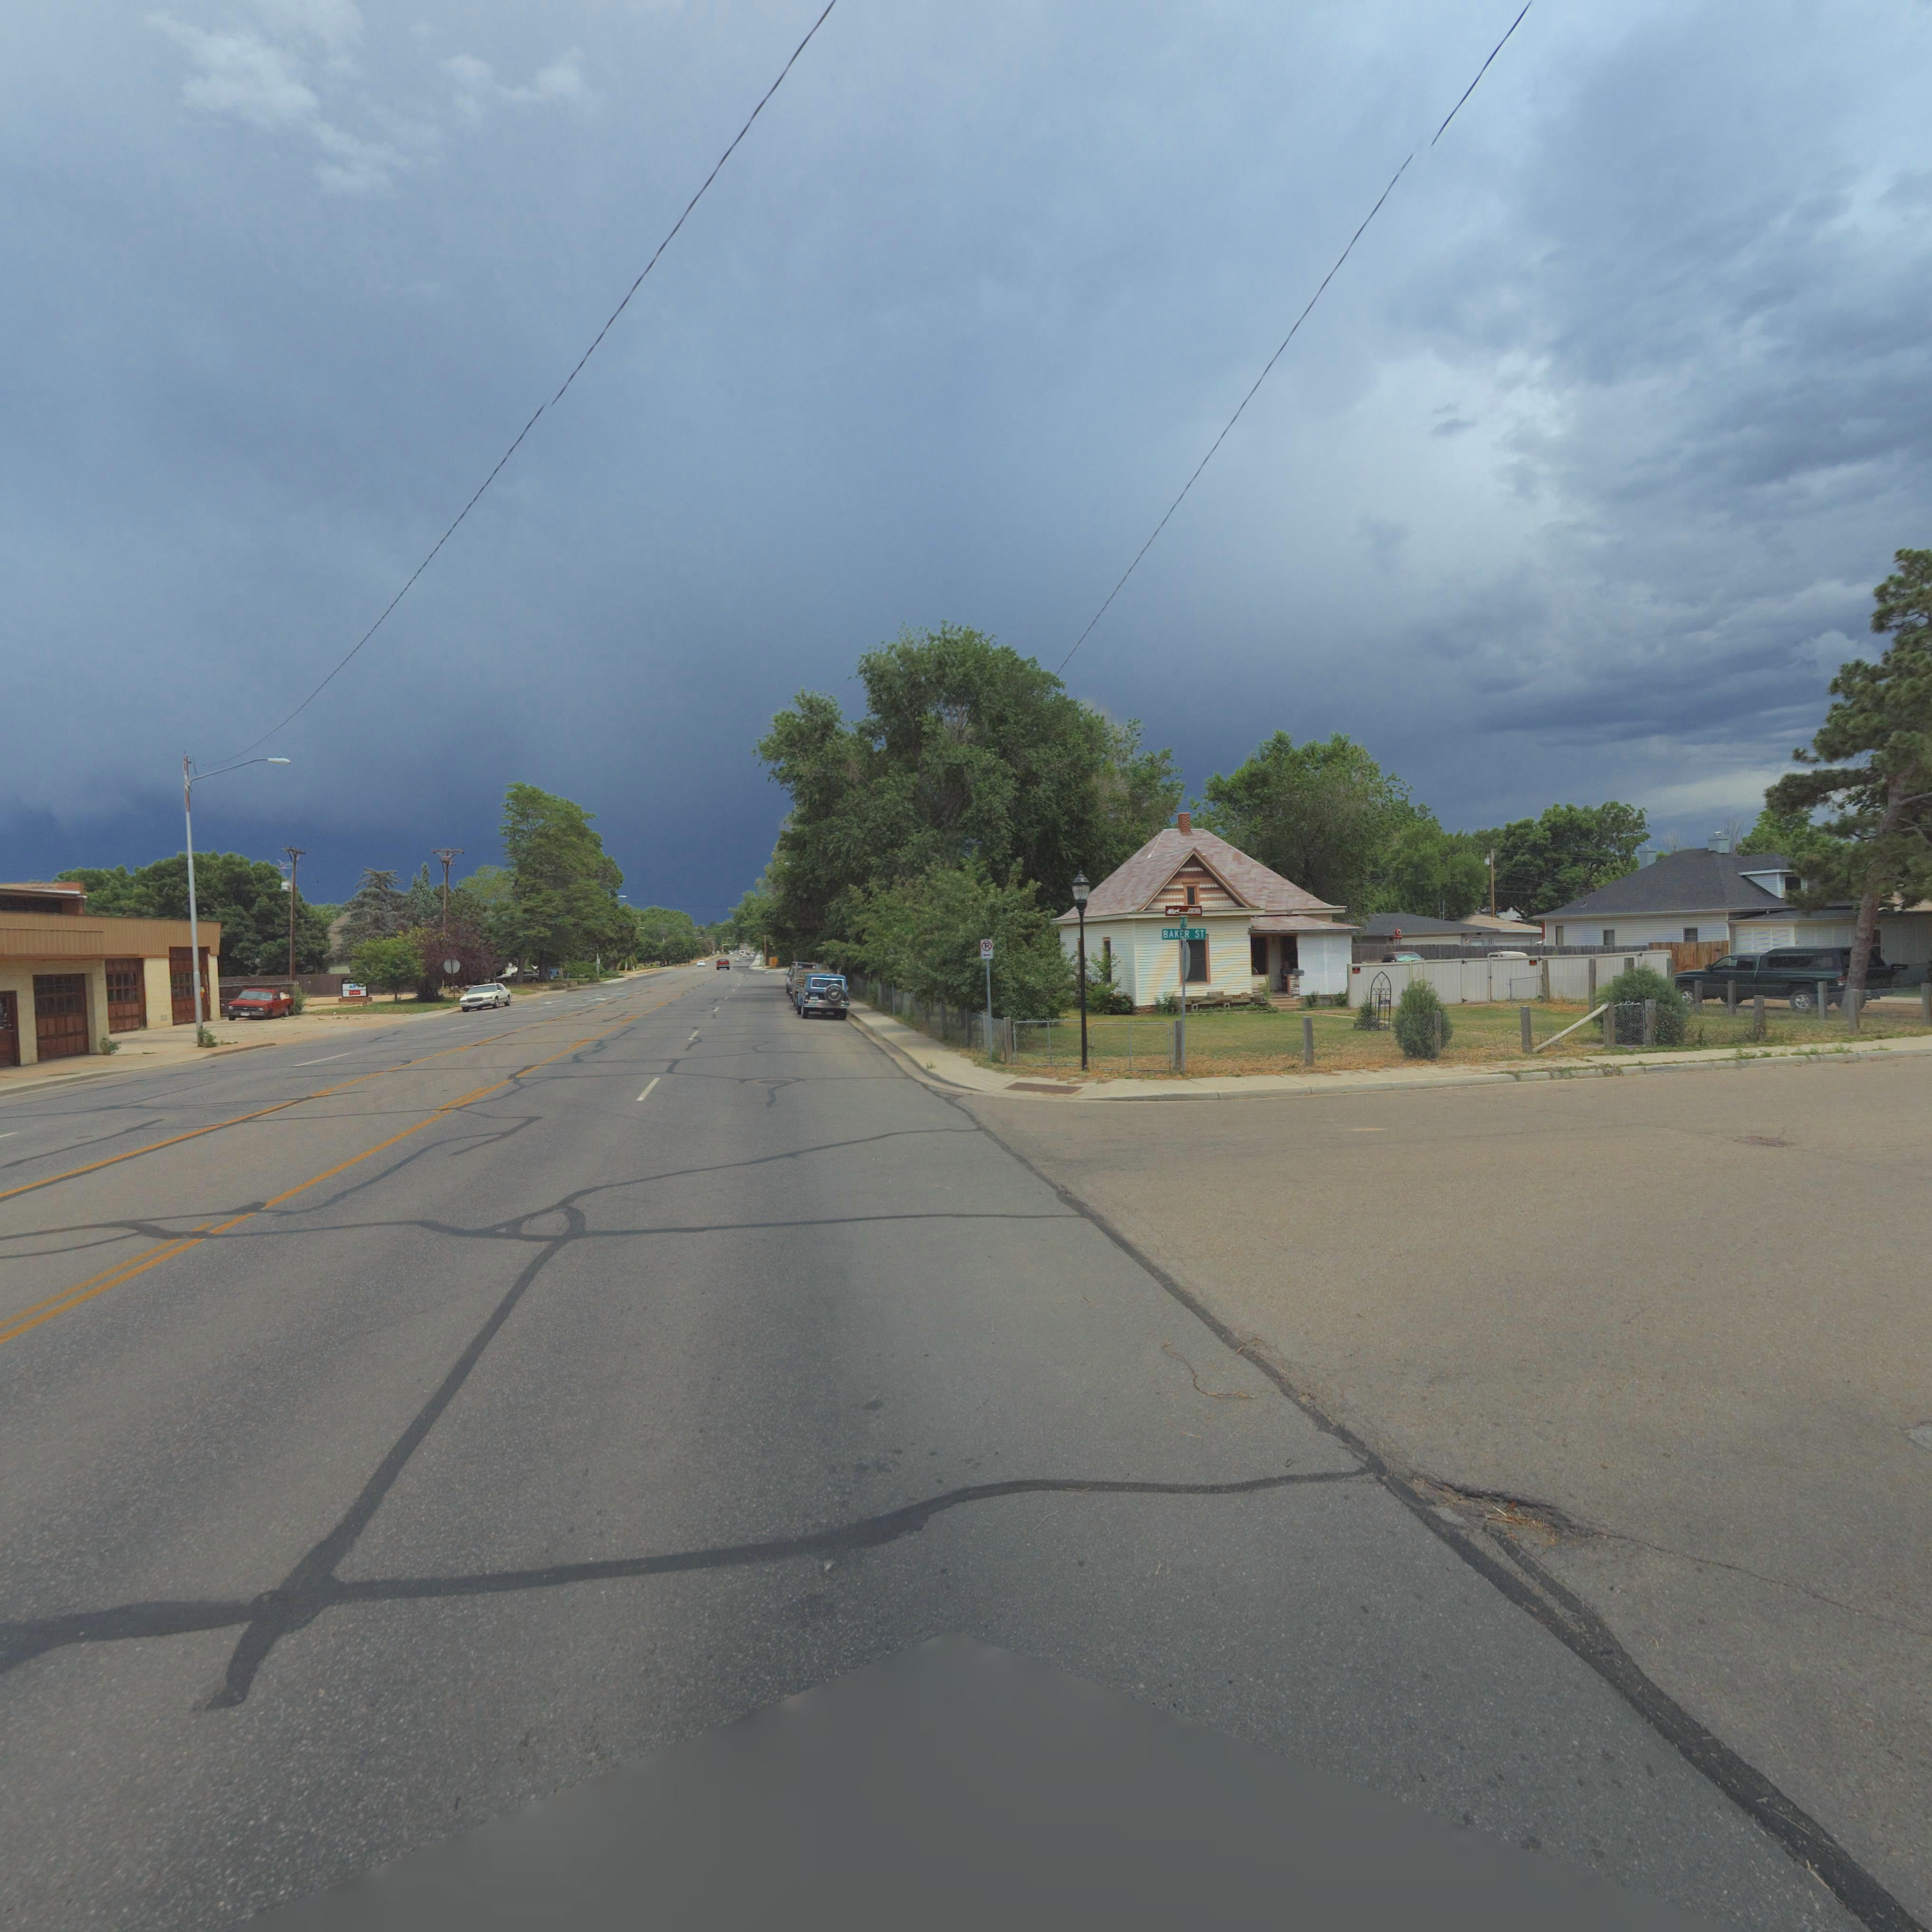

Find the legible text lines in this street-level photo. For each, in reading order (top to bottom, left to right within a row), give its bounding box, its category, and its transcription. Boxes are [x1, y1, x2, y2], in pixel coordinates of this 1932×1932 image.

[1162, 929, 1205, 938] StreetName: BAKER ST